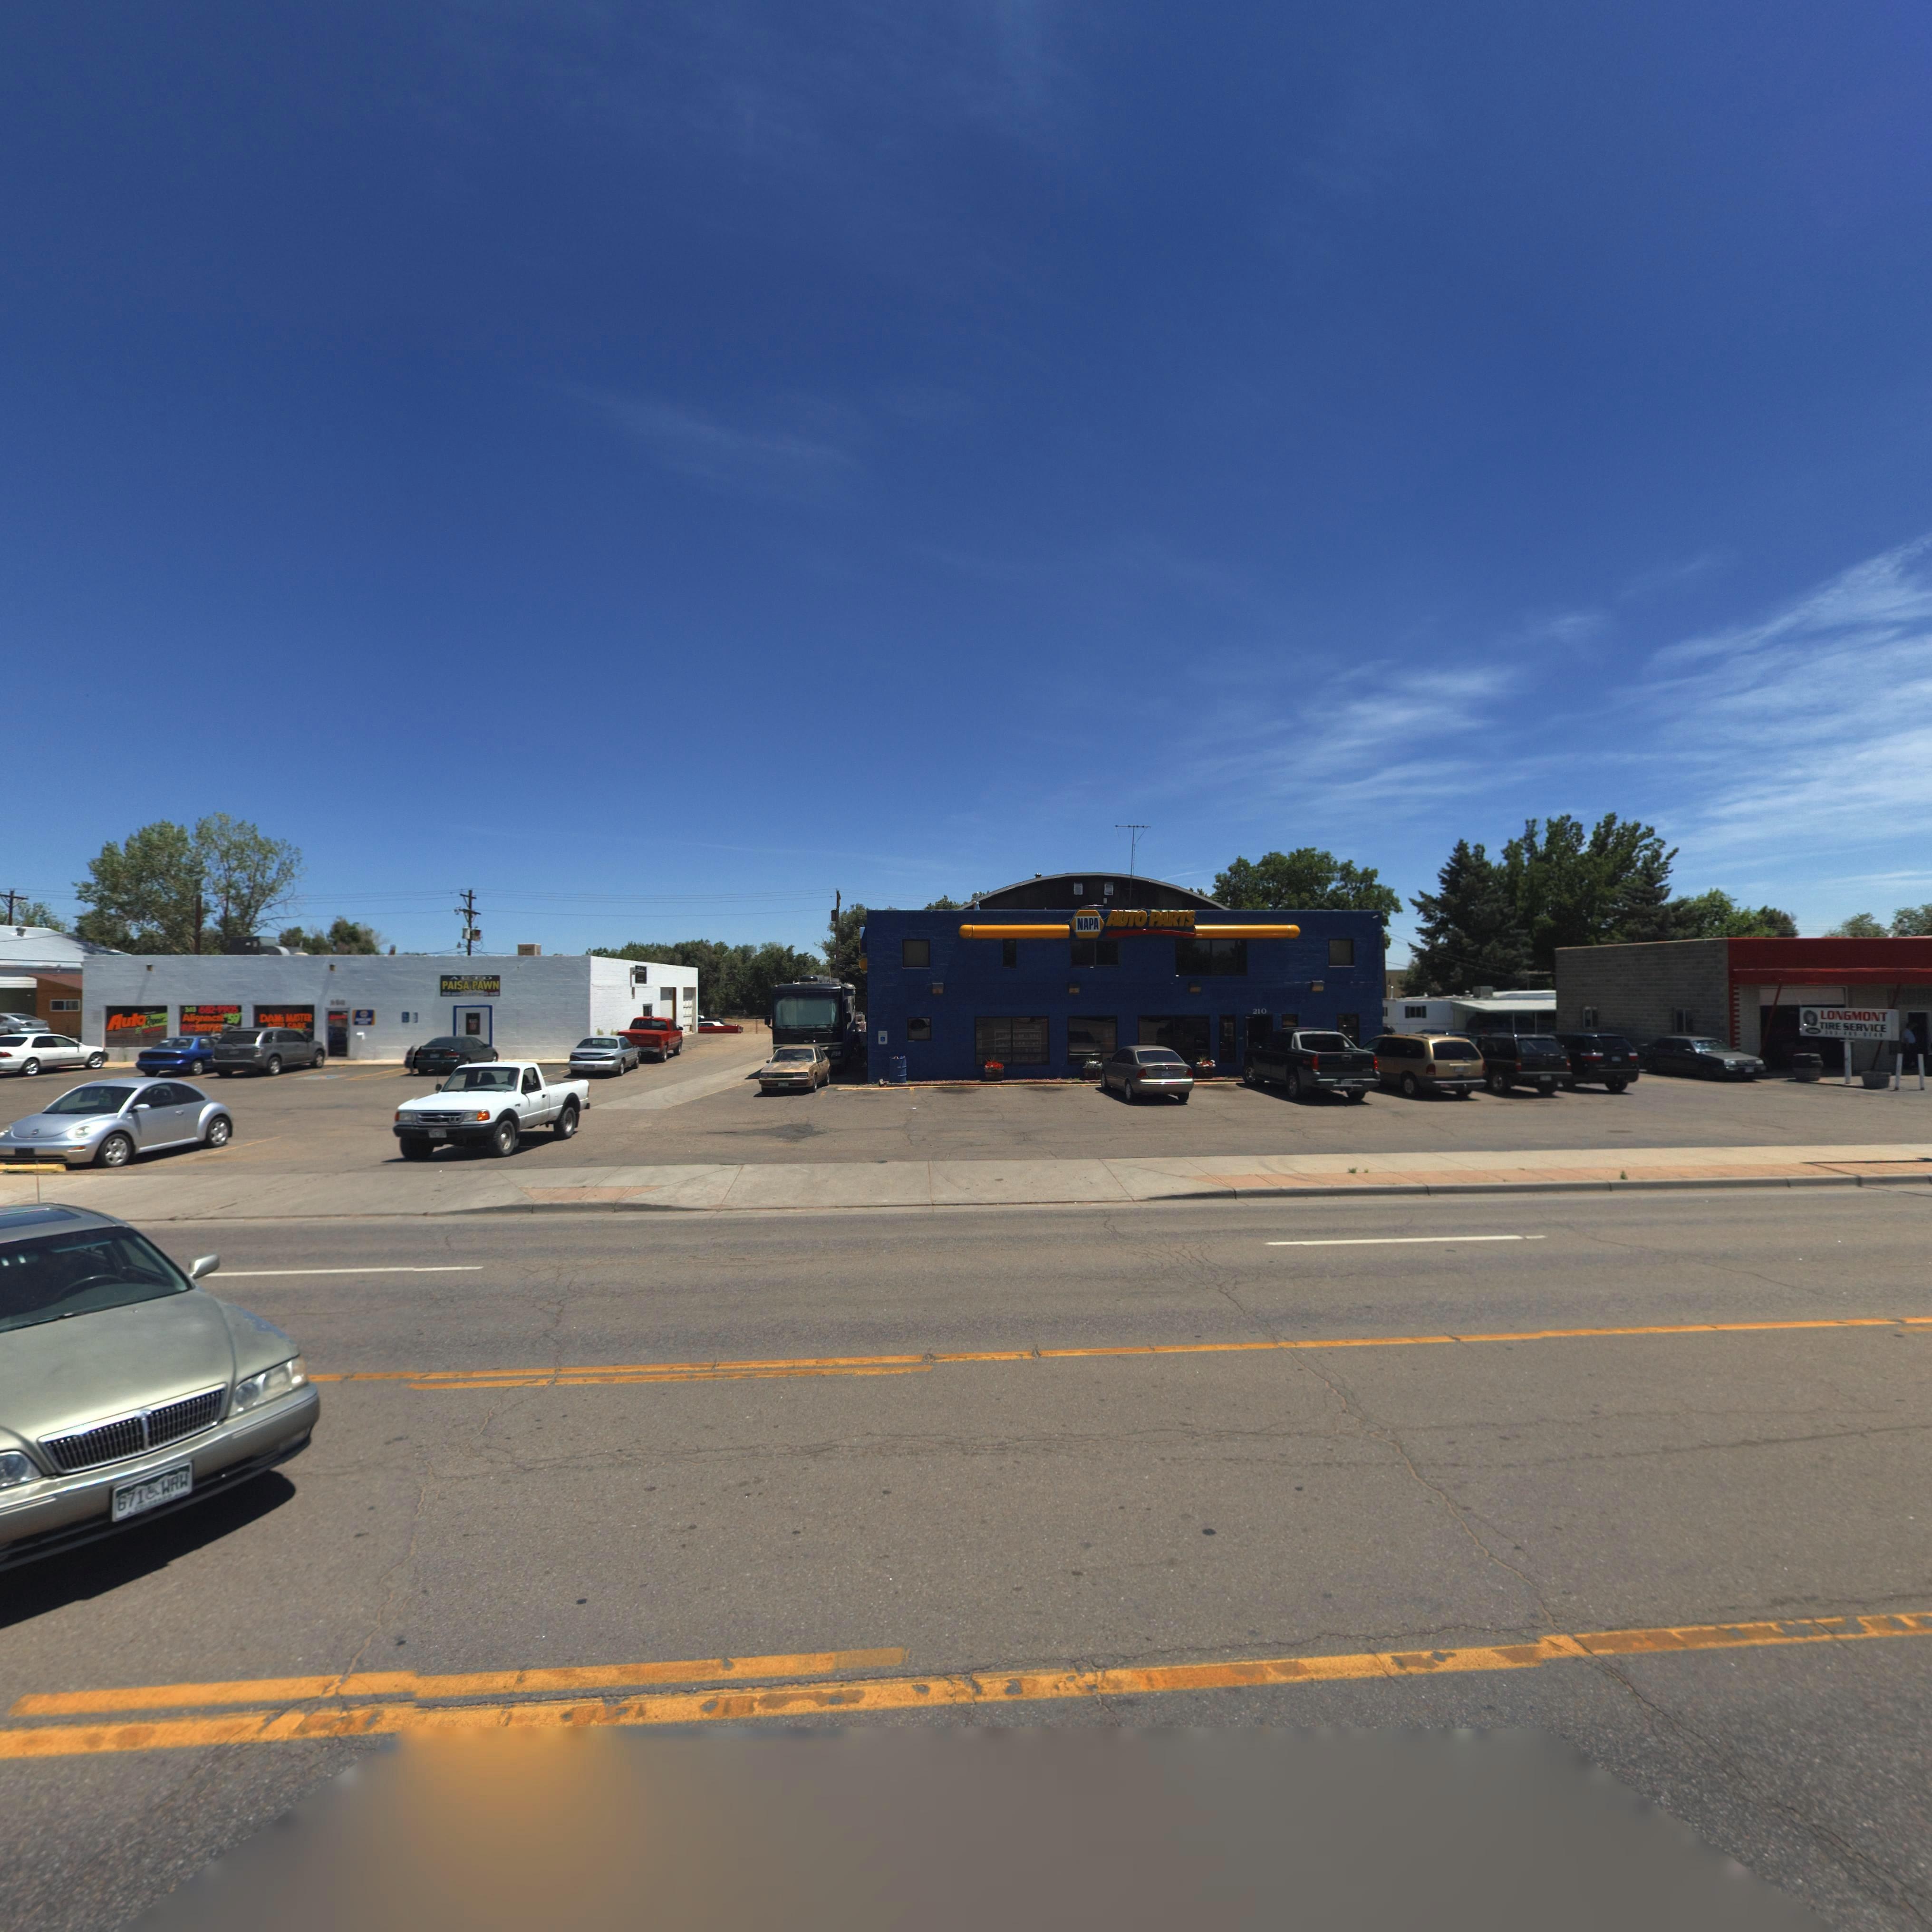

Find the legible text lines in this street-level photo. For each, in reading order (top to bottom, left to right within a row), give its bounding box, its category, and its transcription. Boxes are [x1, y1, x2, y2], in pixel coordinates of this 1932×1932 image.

[1077, 917, 1099, 930] BusinessName: NAPA
[1104, 909, 1196, 927] BusinessName: AUTO PARTS
[449, 976, 492, 980] BusinessName: AUTO
[442, 980, 499, 990] BusinessName: PAISA PAWN
[1252, 1008, 1266, 1014] StreetNumber: 210
[1819, 1009, 1888, 1022] BusinessName: LONGMONT
[1818, 1021, 1887, 1033] BusinessName: TIRE SERVICE